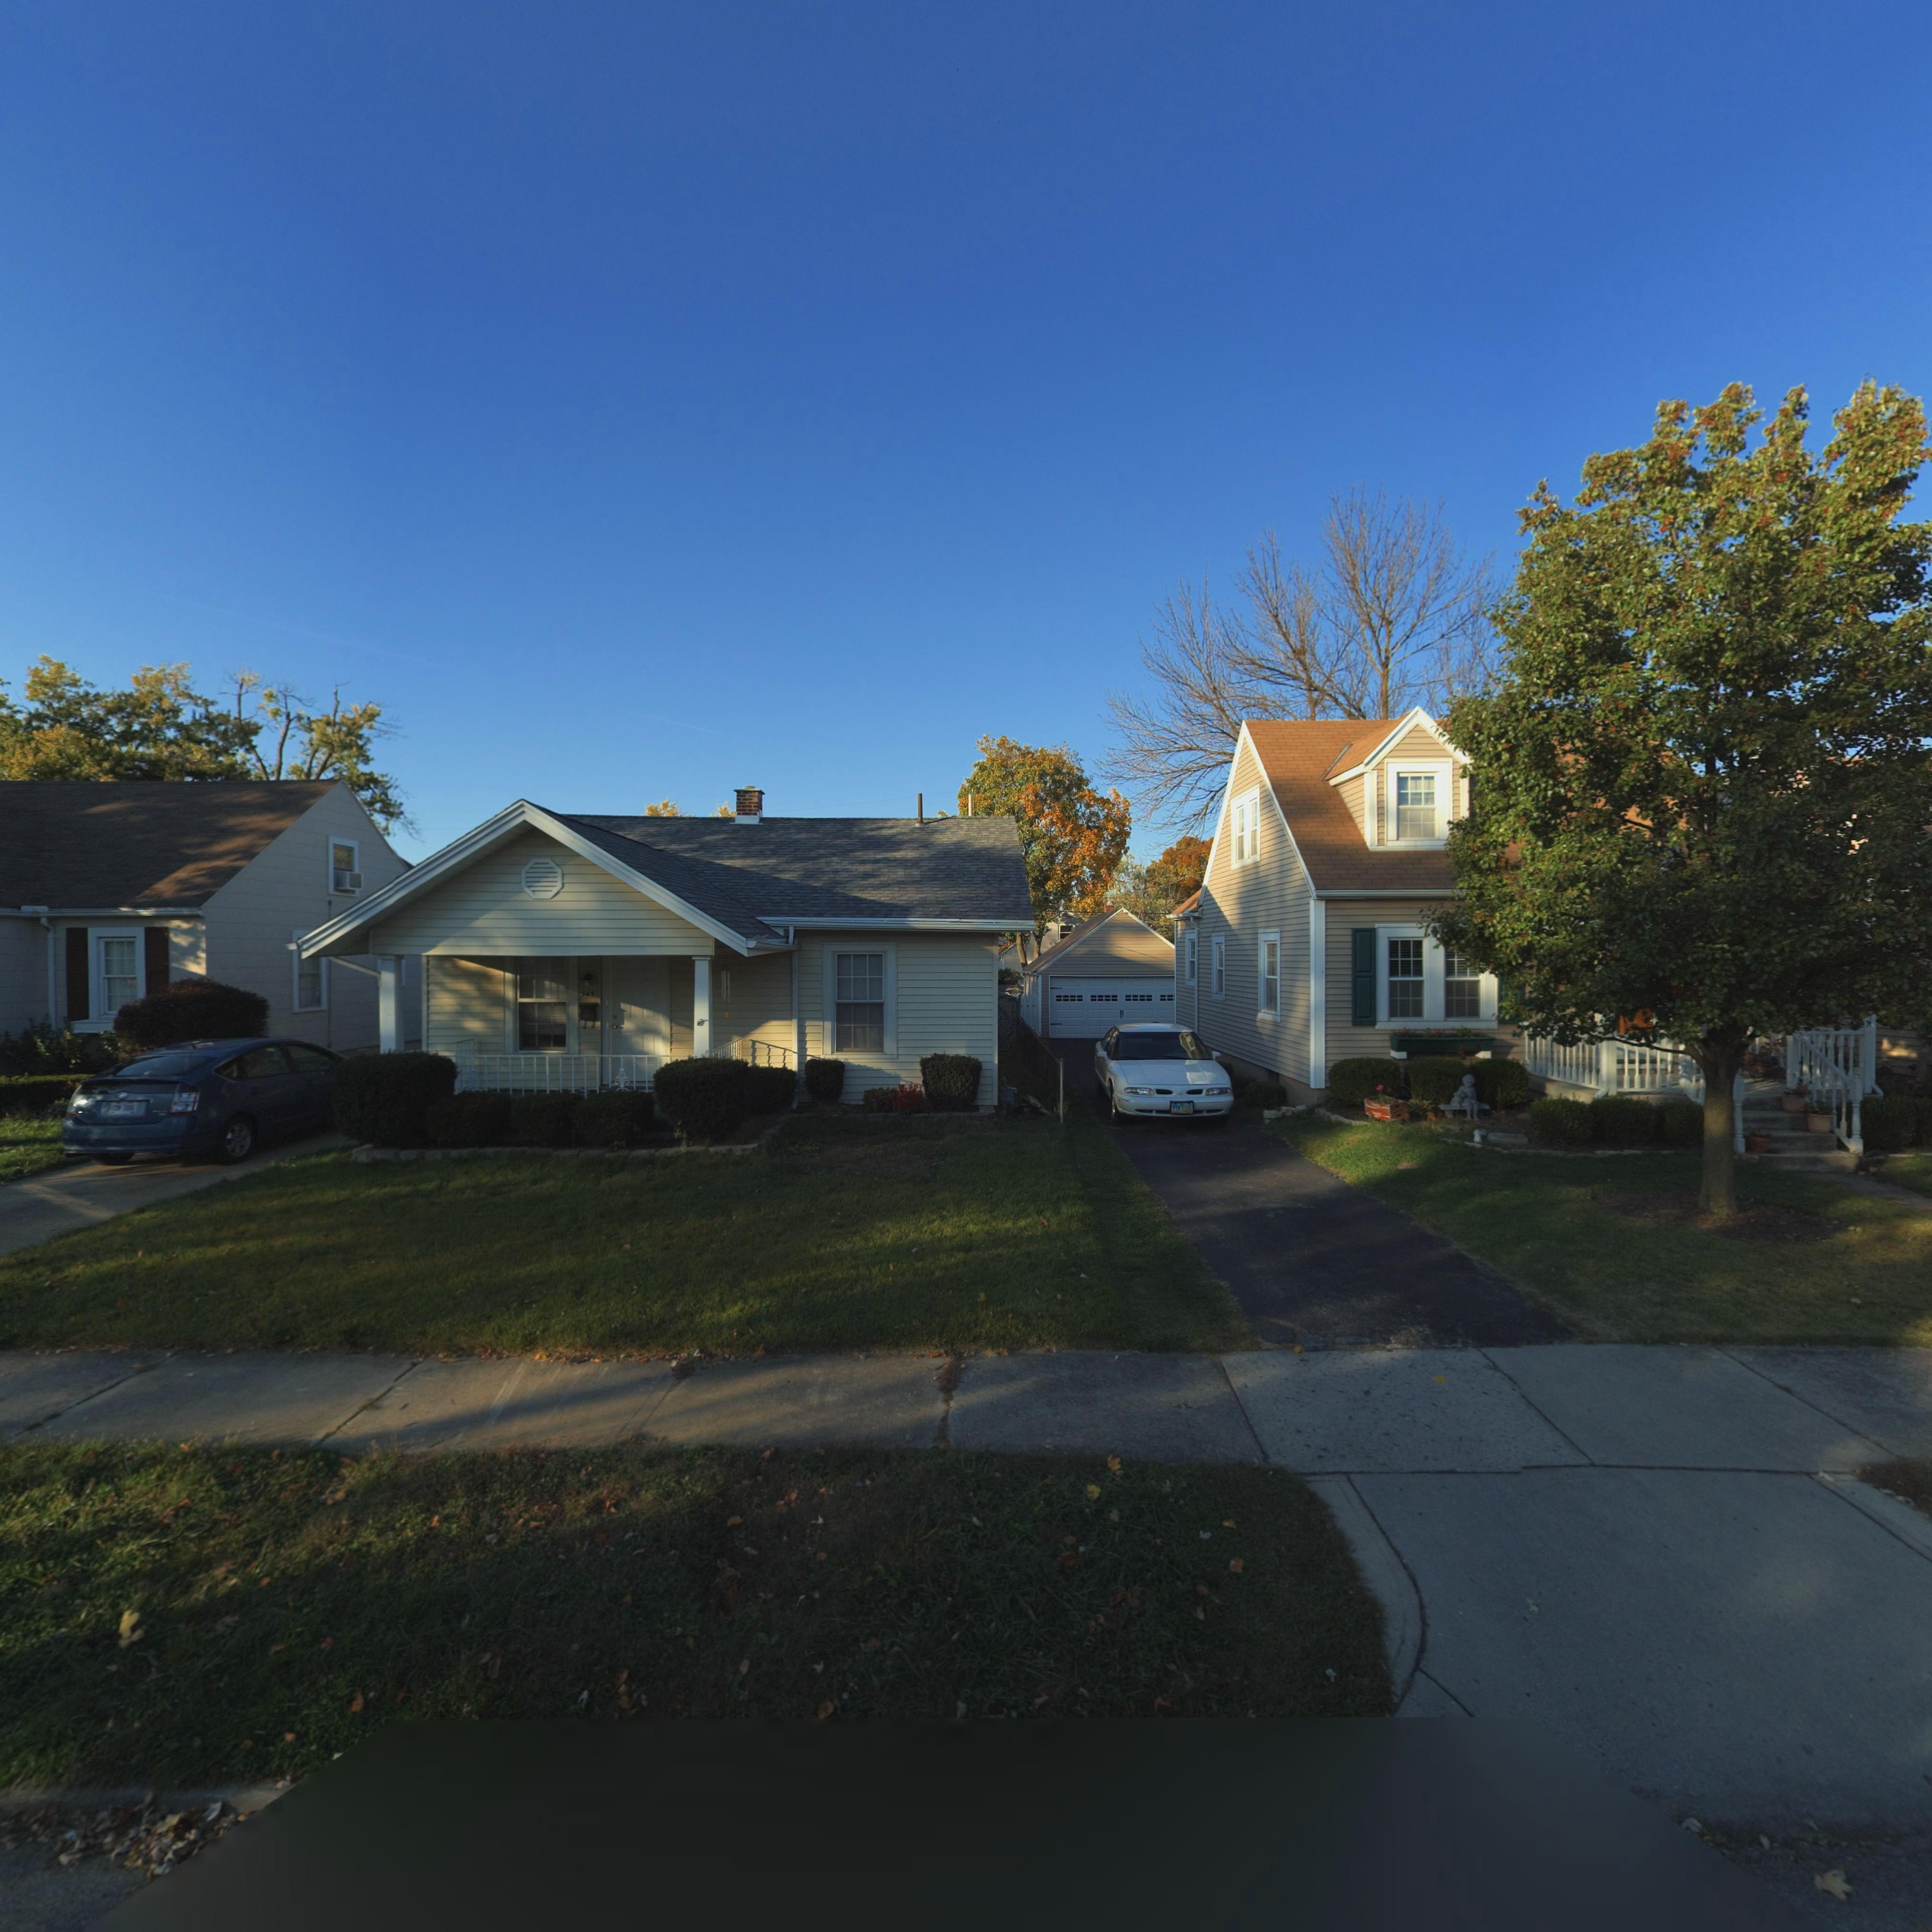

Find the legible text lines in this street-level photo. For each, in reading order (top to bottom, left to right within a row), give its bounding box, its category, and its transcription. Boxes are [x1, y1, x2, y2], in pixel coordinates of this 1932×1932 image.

[580, 990, 595, 998] StreetNumber: 345